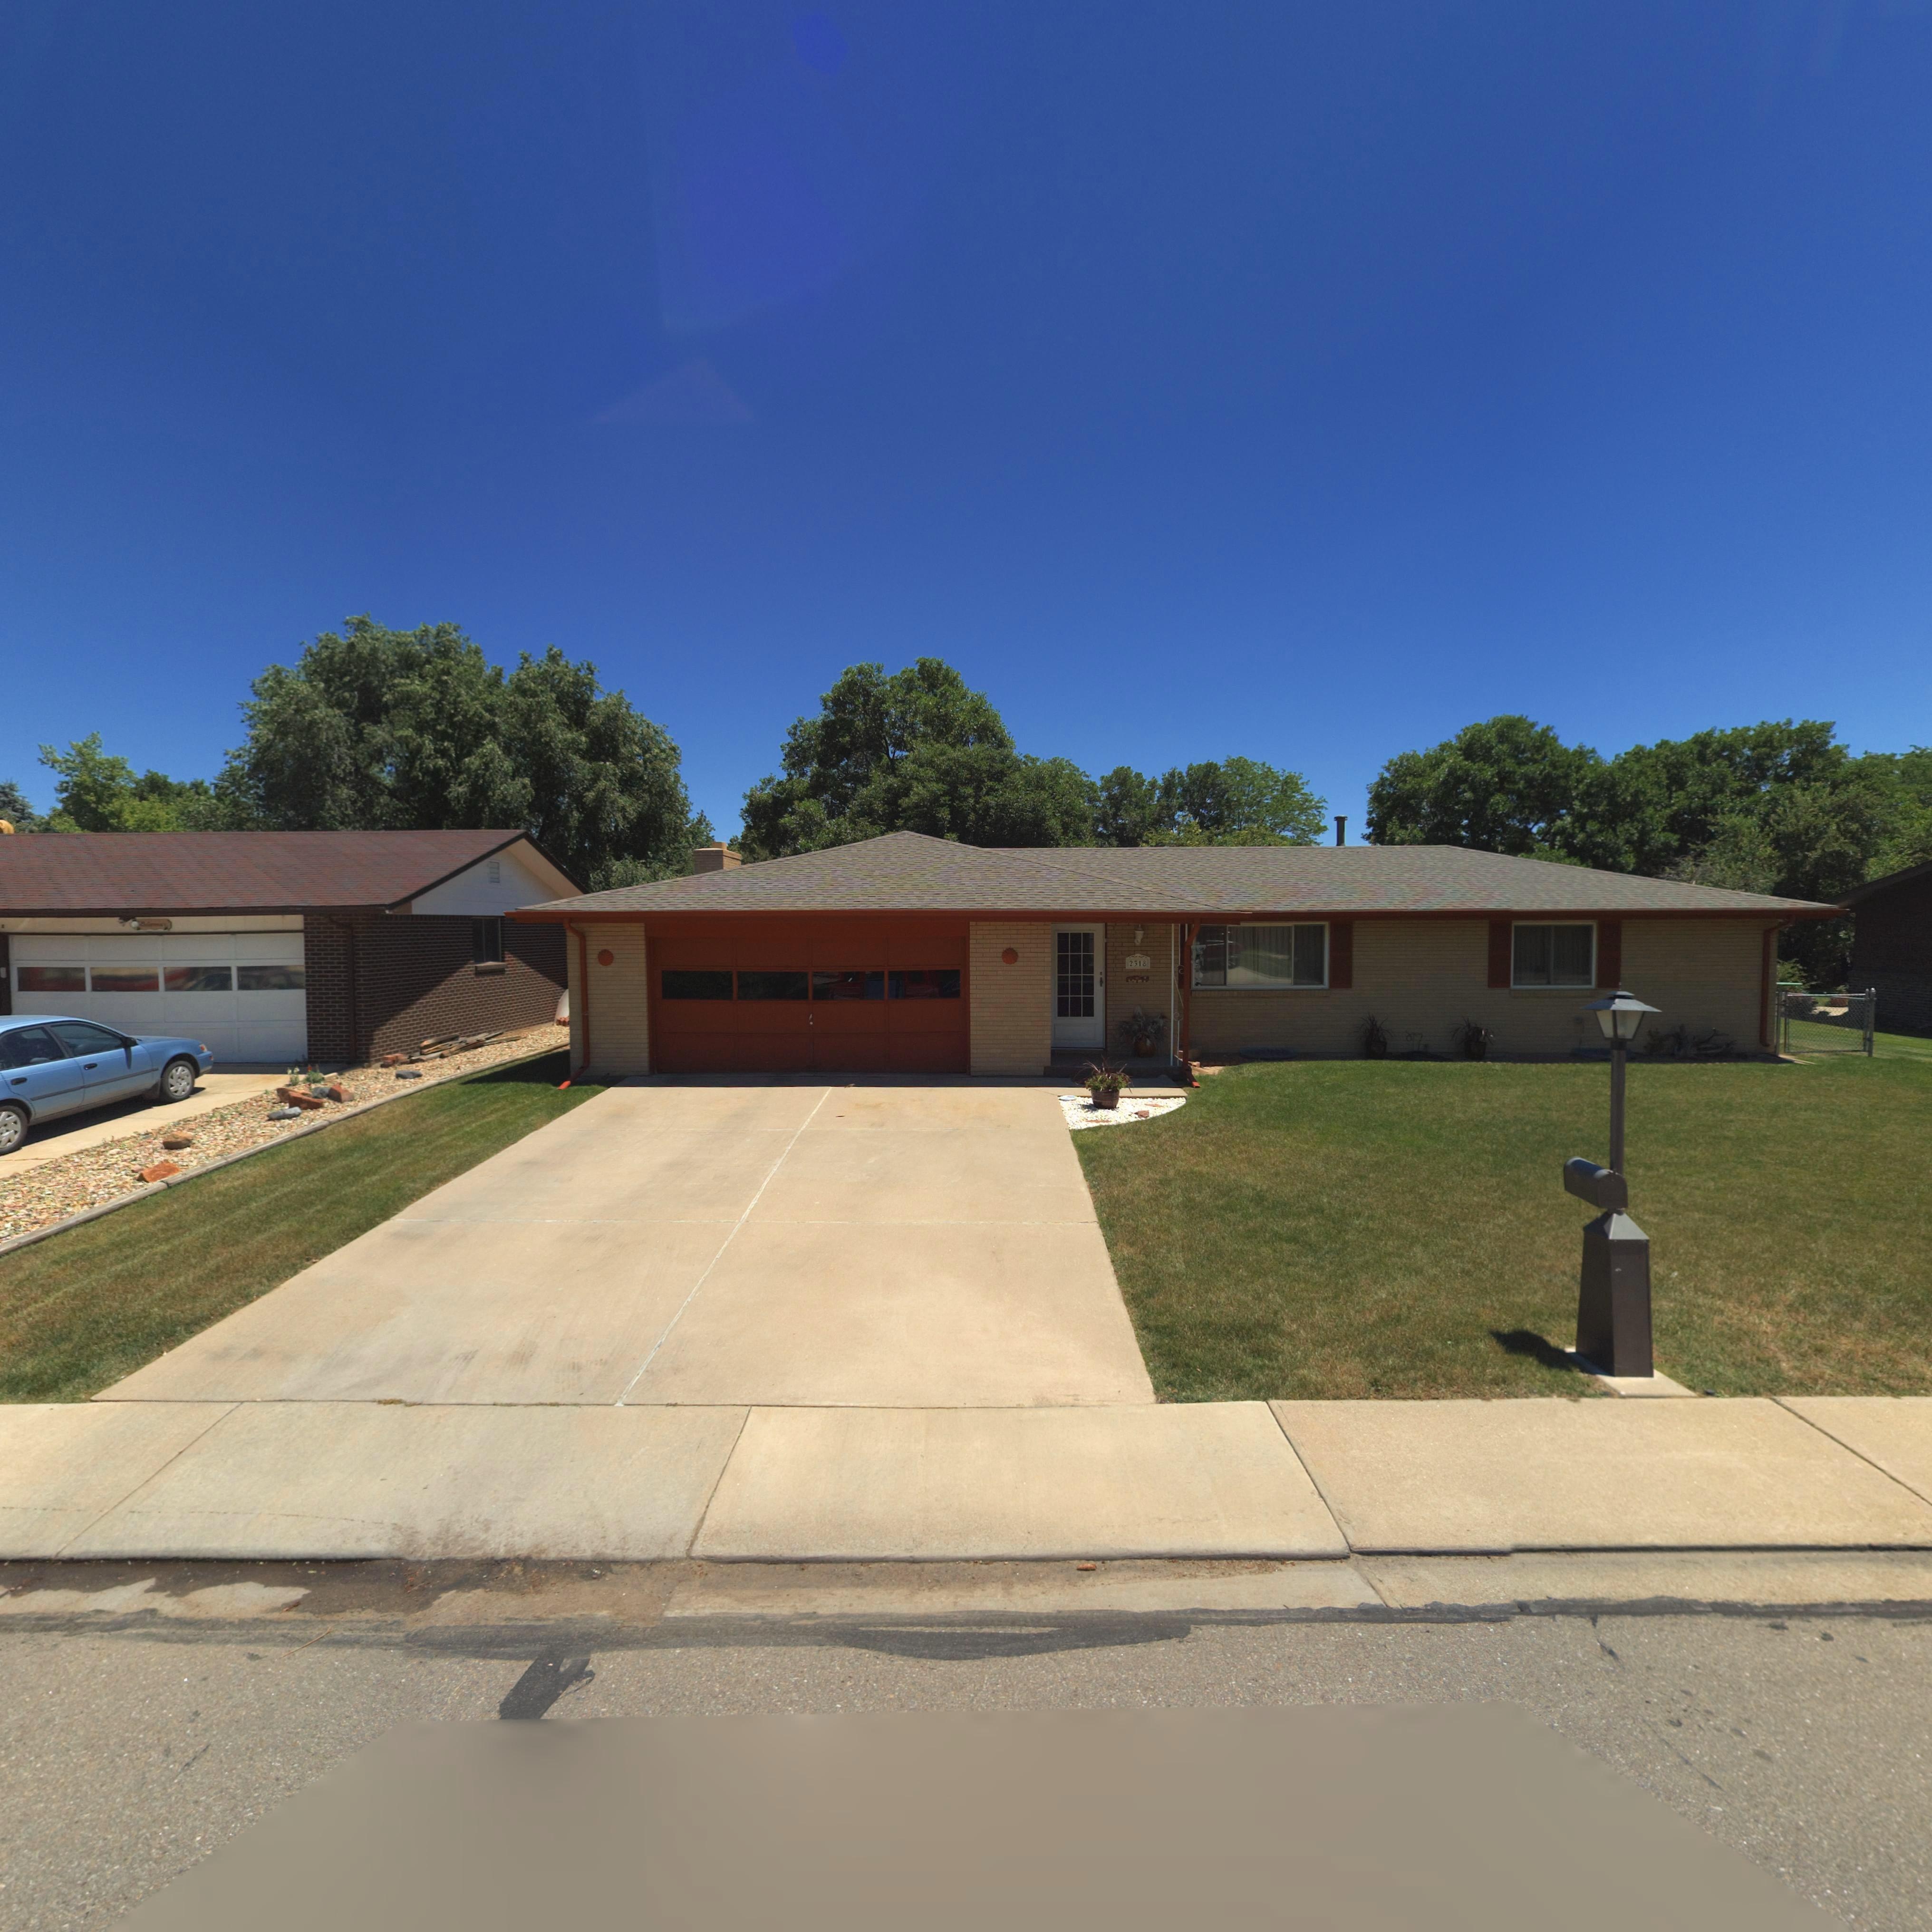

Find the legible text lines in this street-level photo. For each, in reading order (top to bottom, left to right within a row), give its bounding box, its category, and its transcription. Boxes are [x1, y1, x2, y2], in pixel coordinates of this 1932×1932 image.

[1130, 960, 1146, 966] StreetNumber: 2318